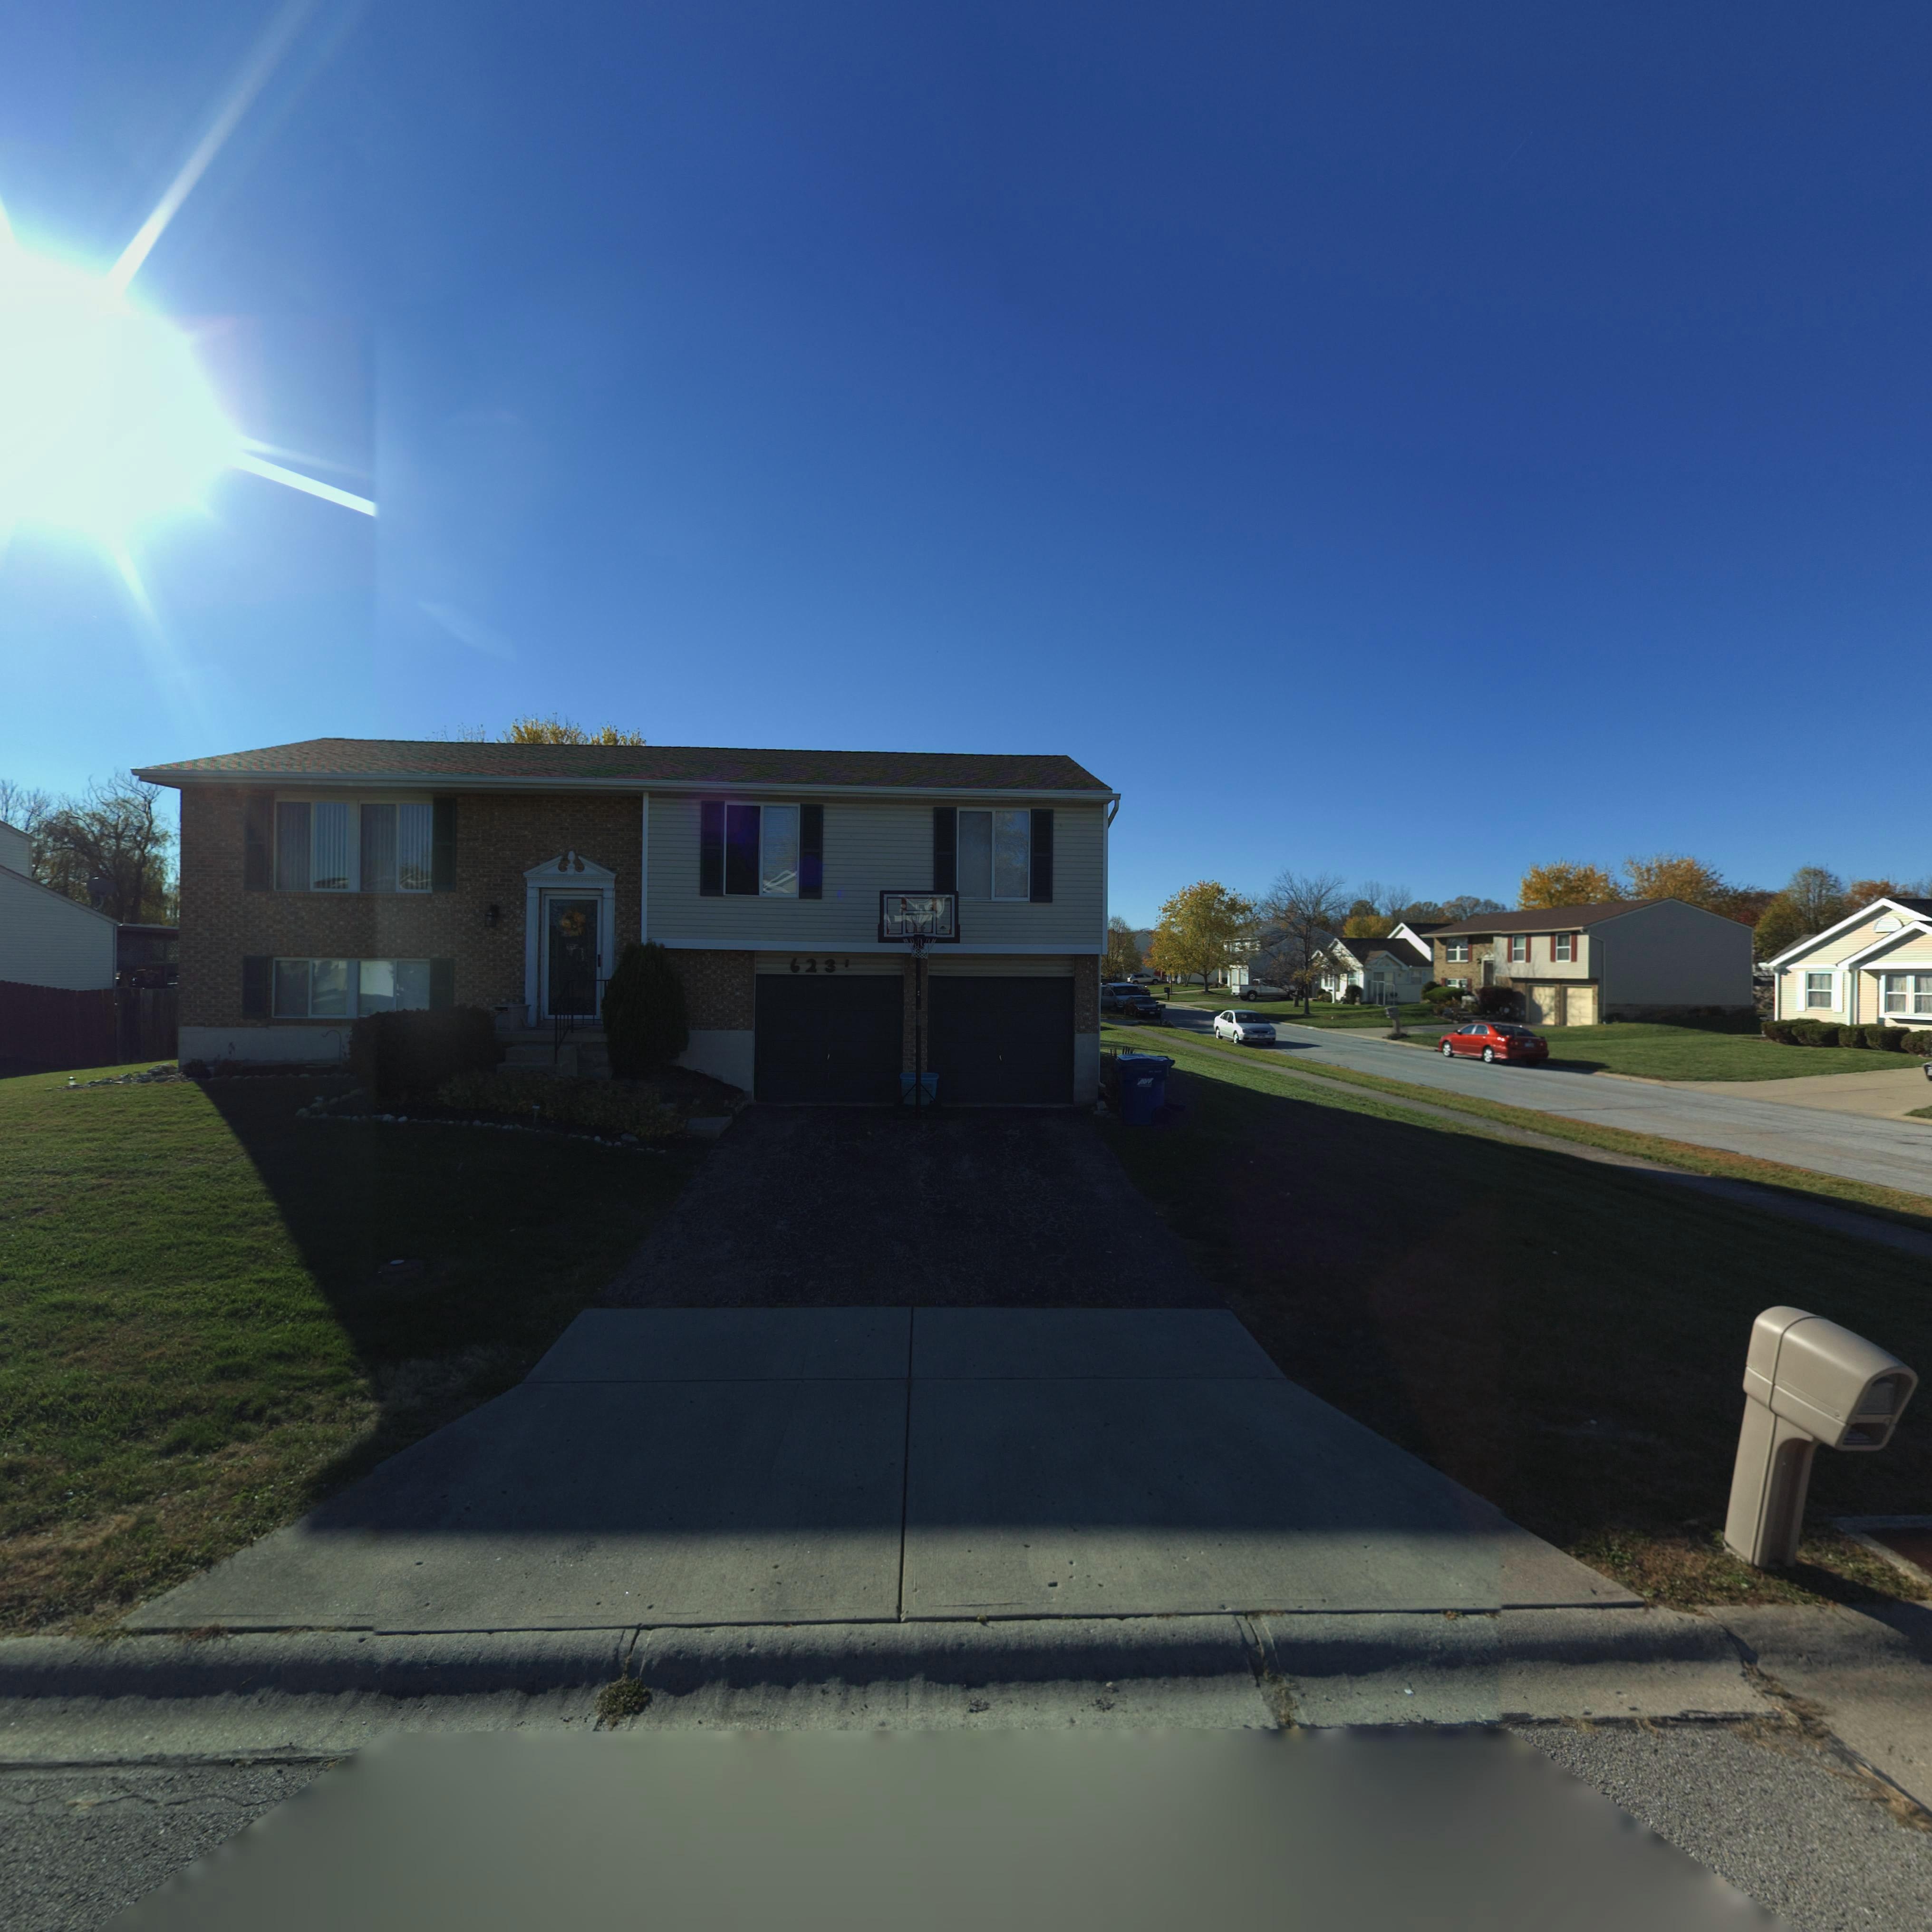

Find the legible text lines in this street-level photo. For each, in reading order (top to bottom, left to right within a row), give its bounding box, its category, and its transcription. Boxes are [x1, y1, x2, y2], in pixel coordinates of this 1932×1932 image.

[789, 957, 850, 974] StreetNumber: 623*